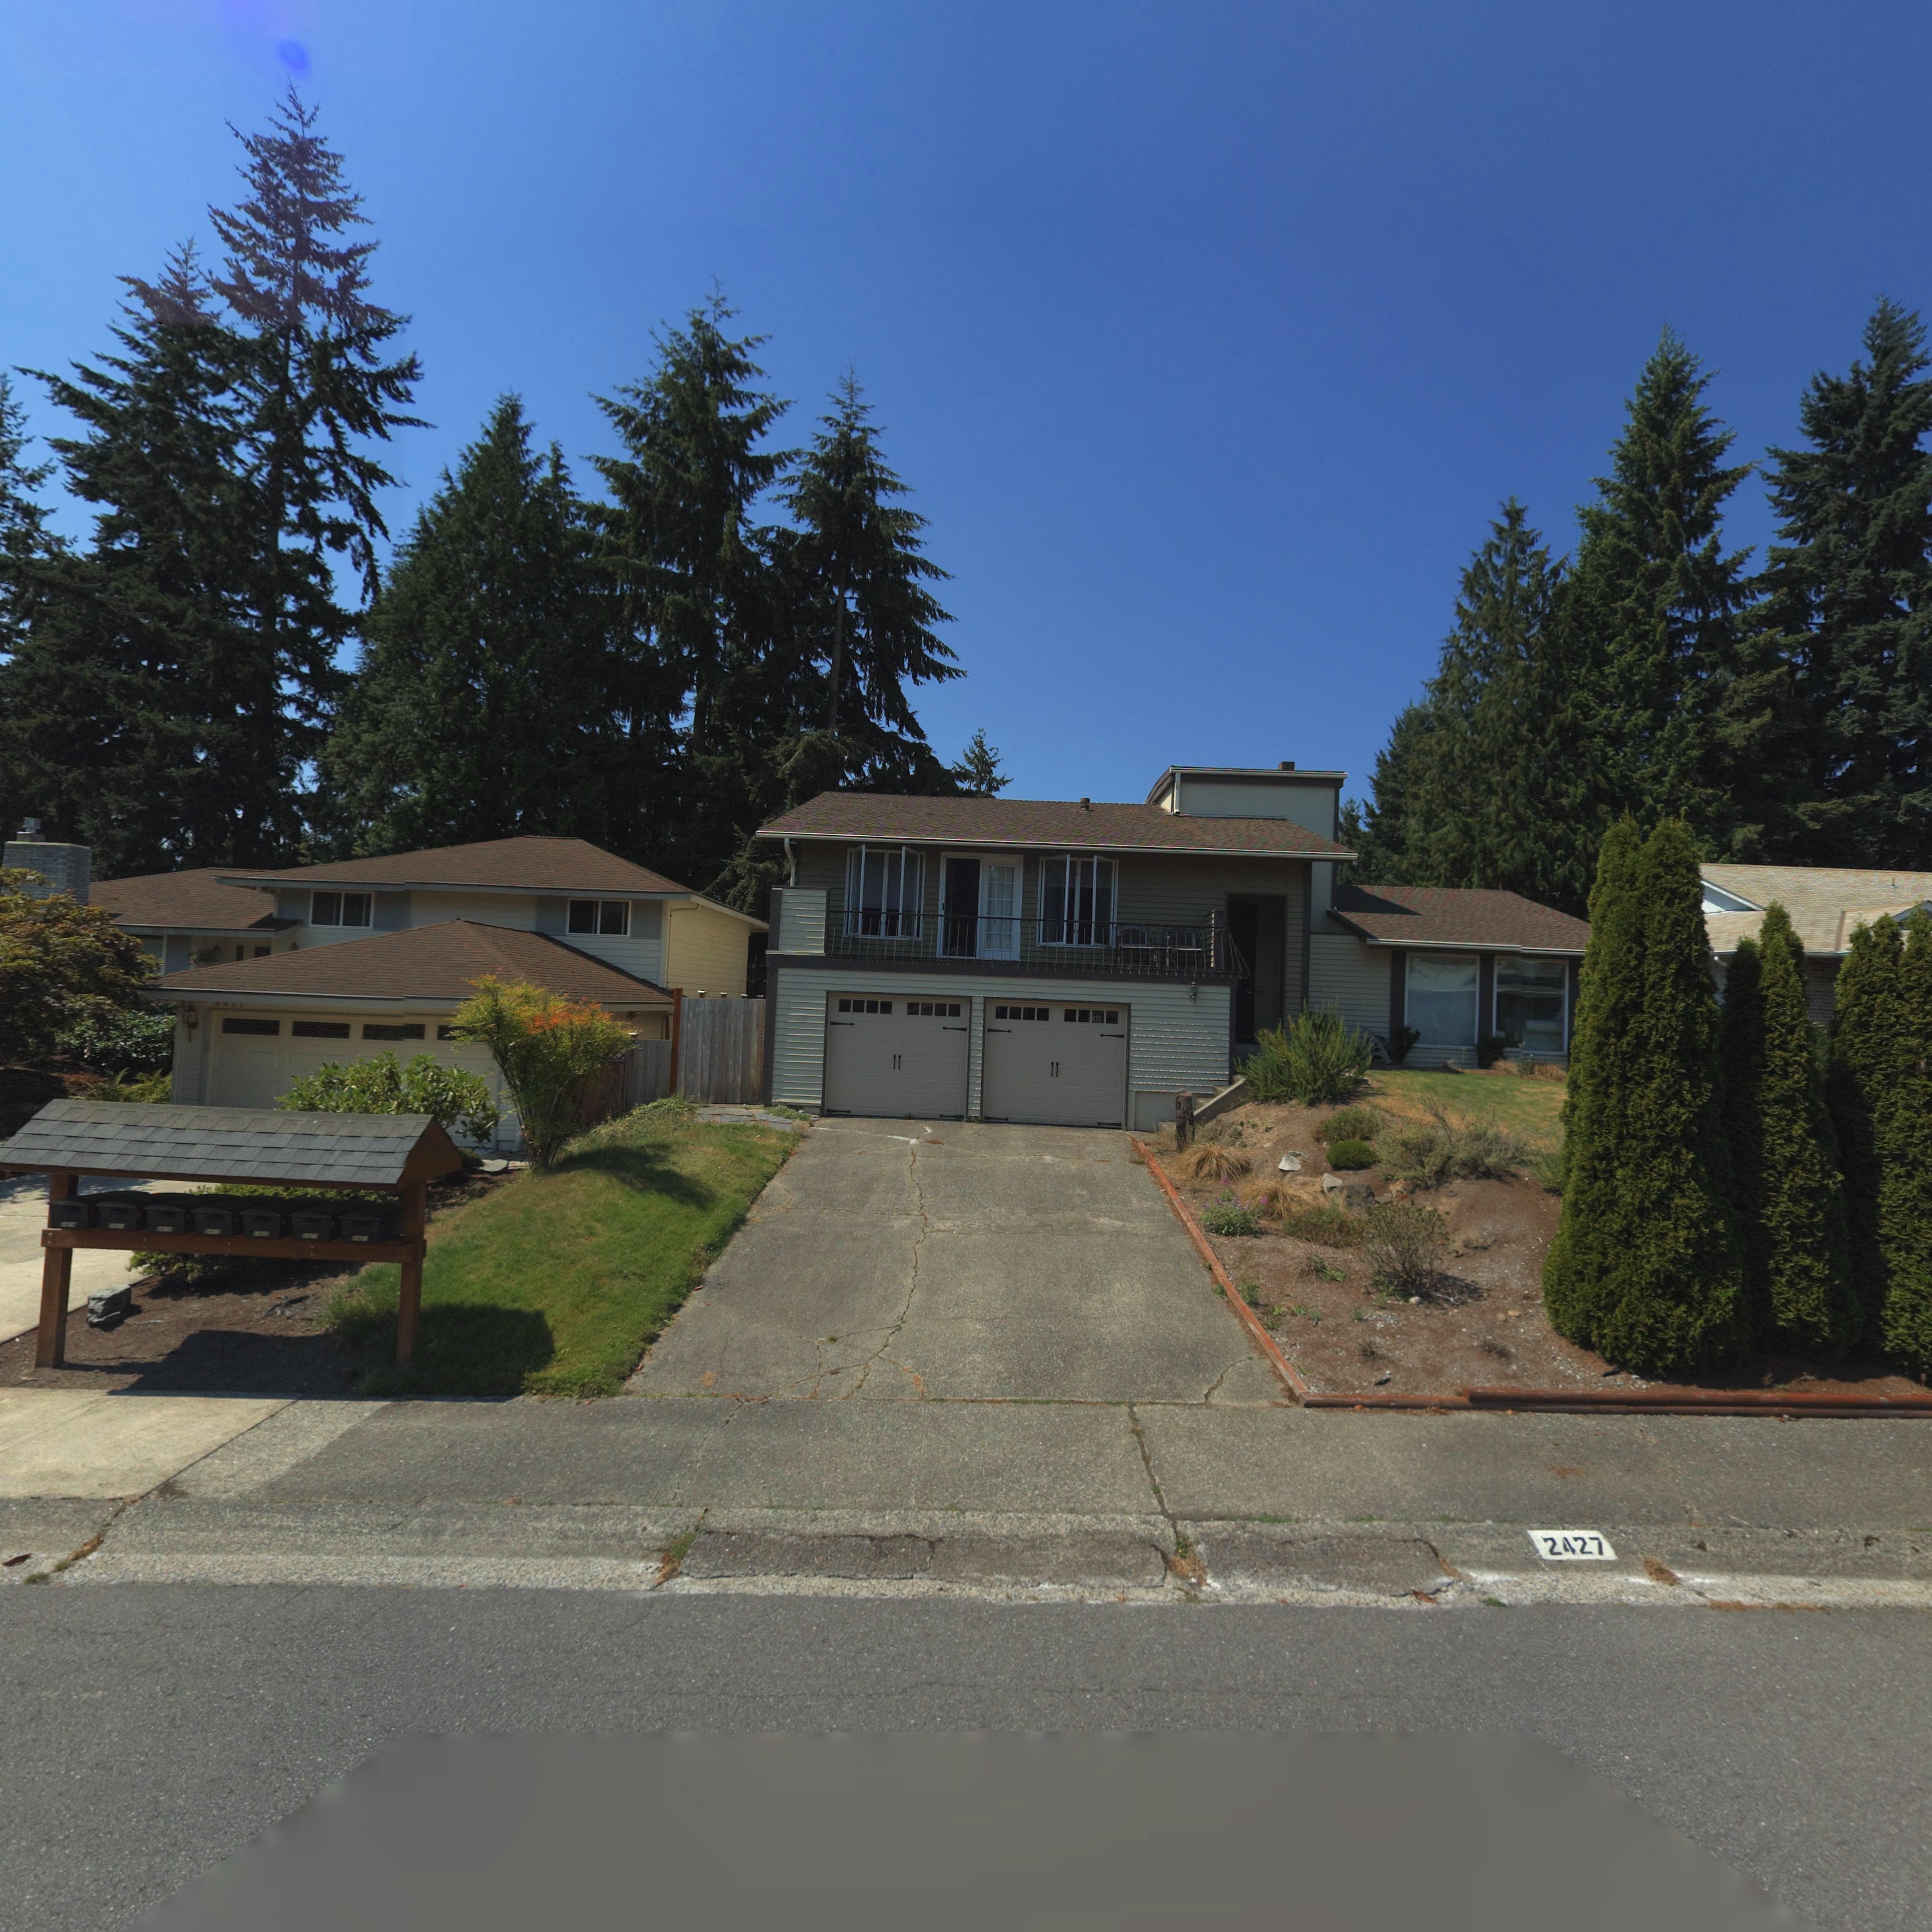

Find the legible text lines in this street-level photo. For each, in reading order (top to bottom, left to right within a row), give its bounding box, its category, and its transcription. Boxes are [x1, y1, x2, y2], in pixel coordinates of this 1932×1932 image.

[1540, 1535, 1608, 1558] StreetNumber: 2427